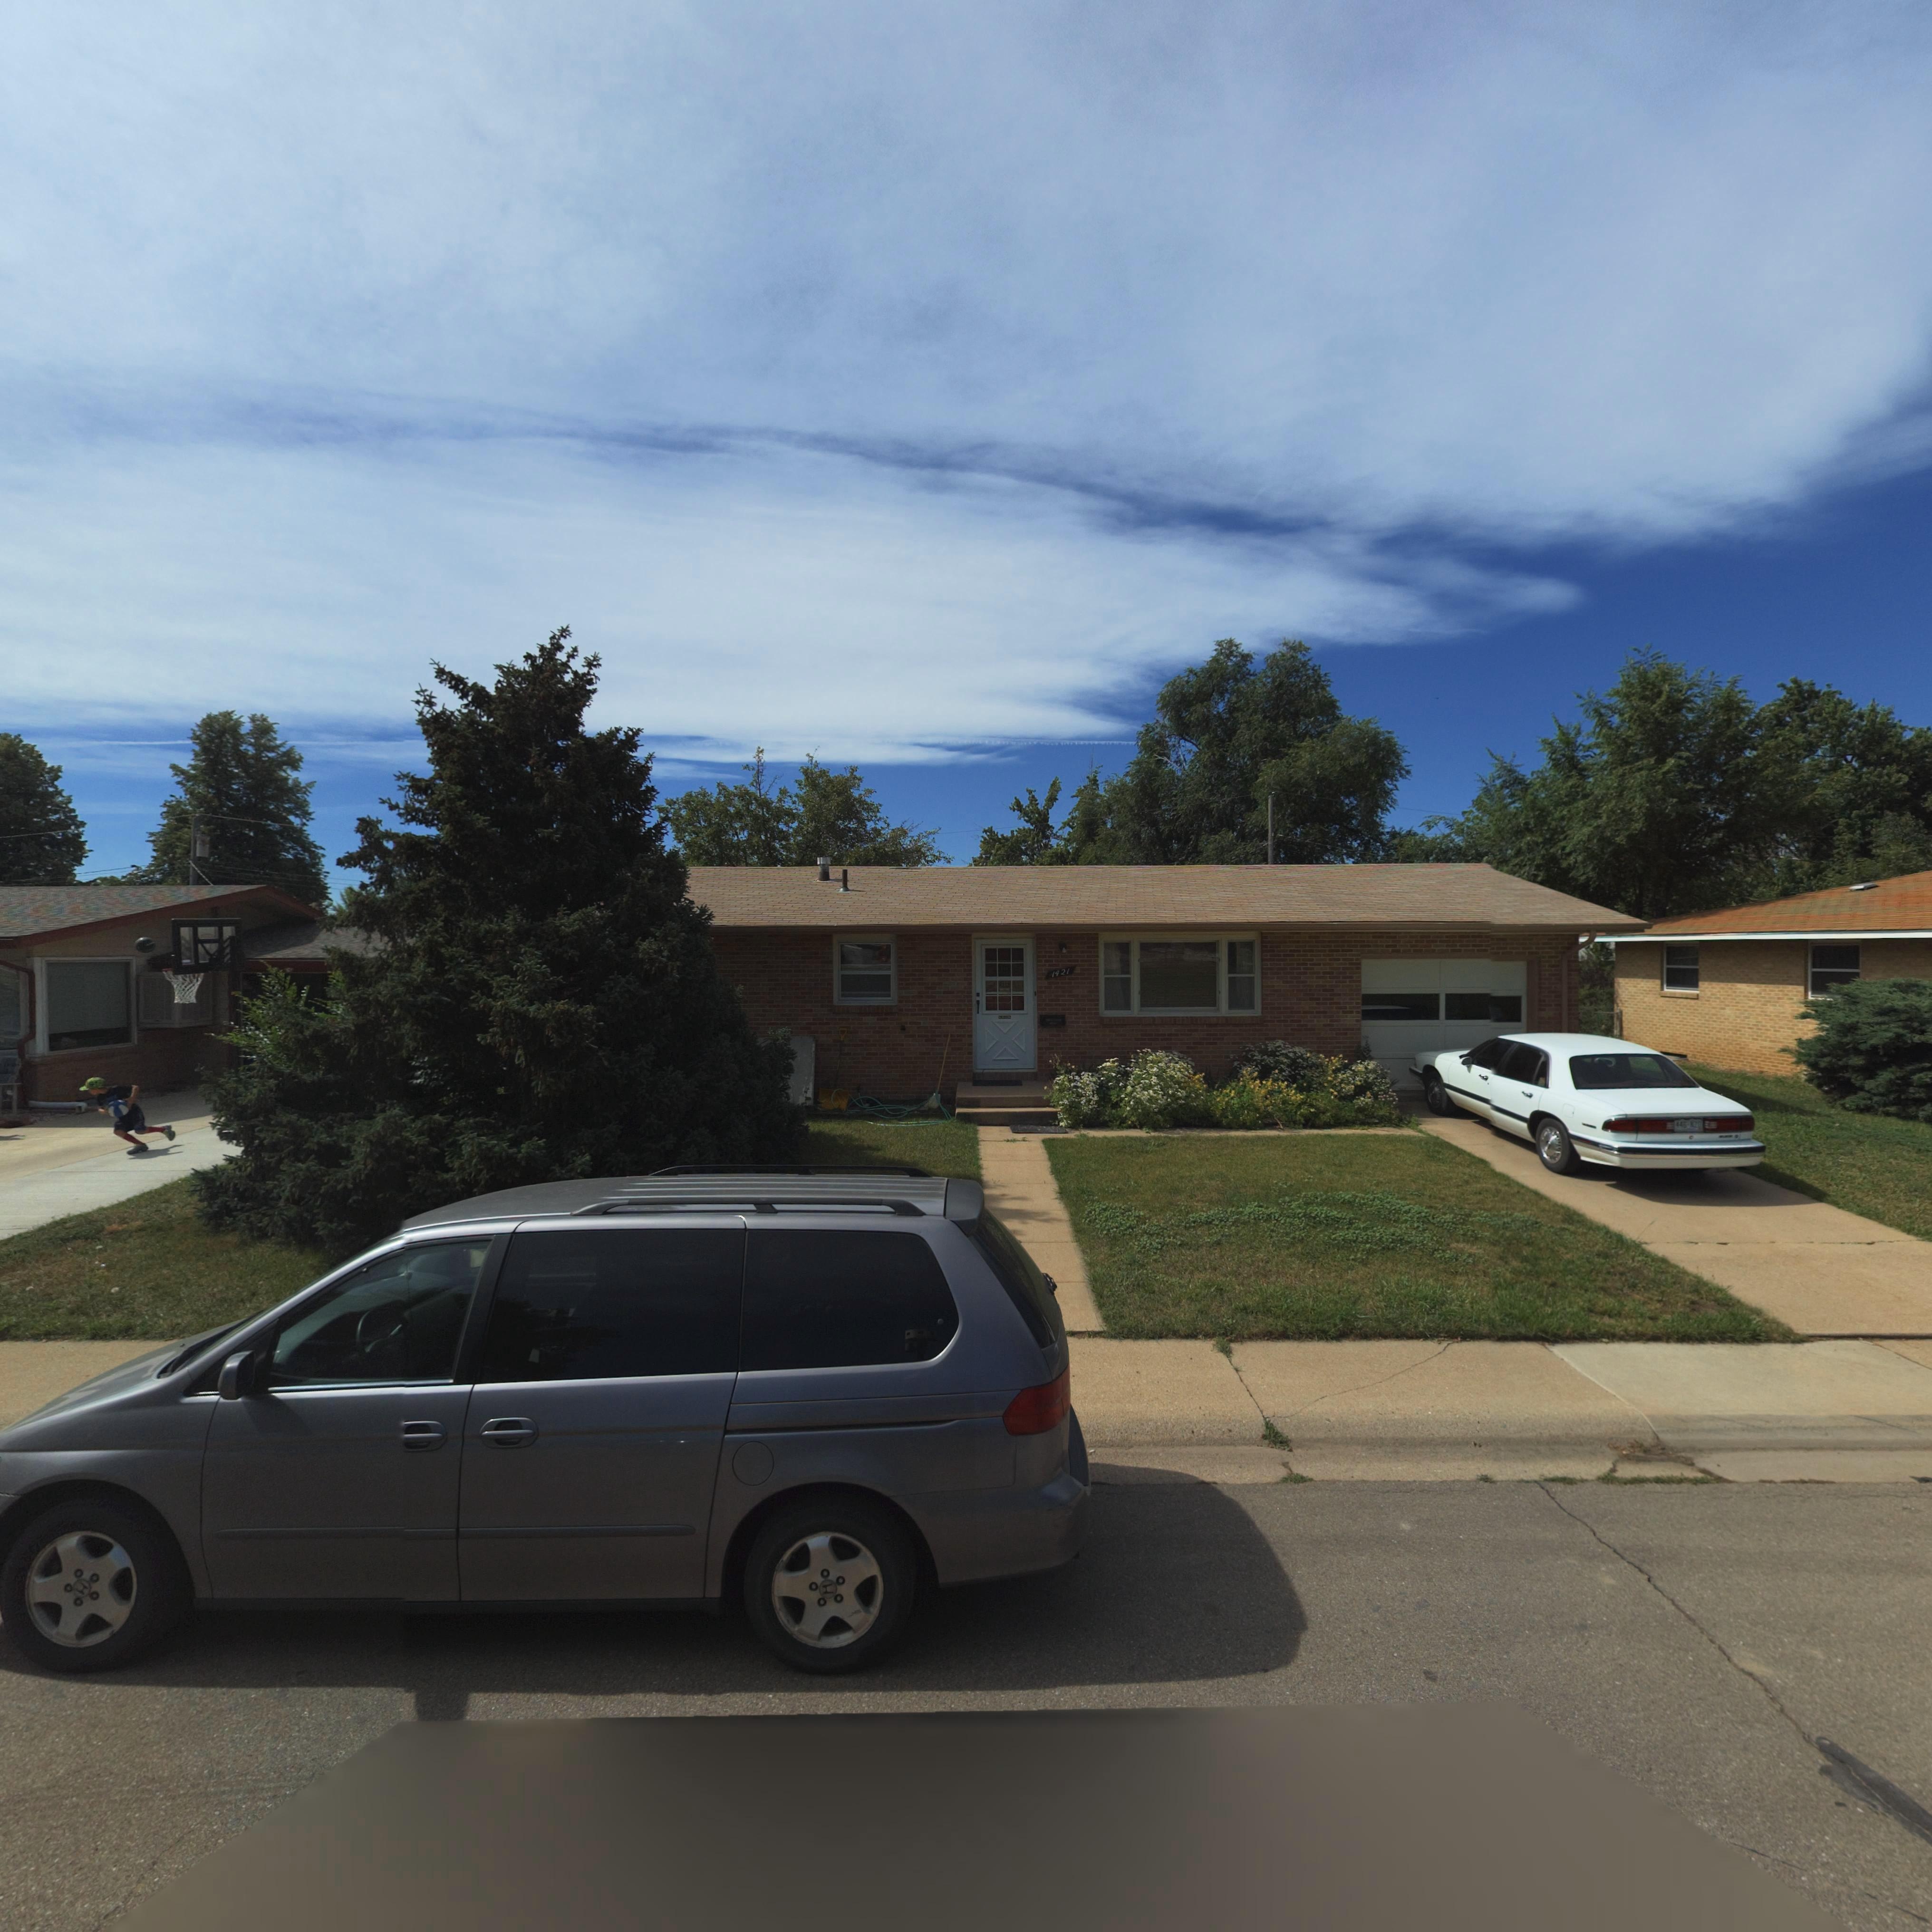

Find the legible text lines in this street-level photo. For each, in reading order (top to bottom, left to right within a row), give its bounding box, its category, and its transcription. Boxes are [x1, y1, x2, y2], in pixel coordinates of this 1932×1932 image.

[1052, 968, 1070, 978] StreetNumber: 1421